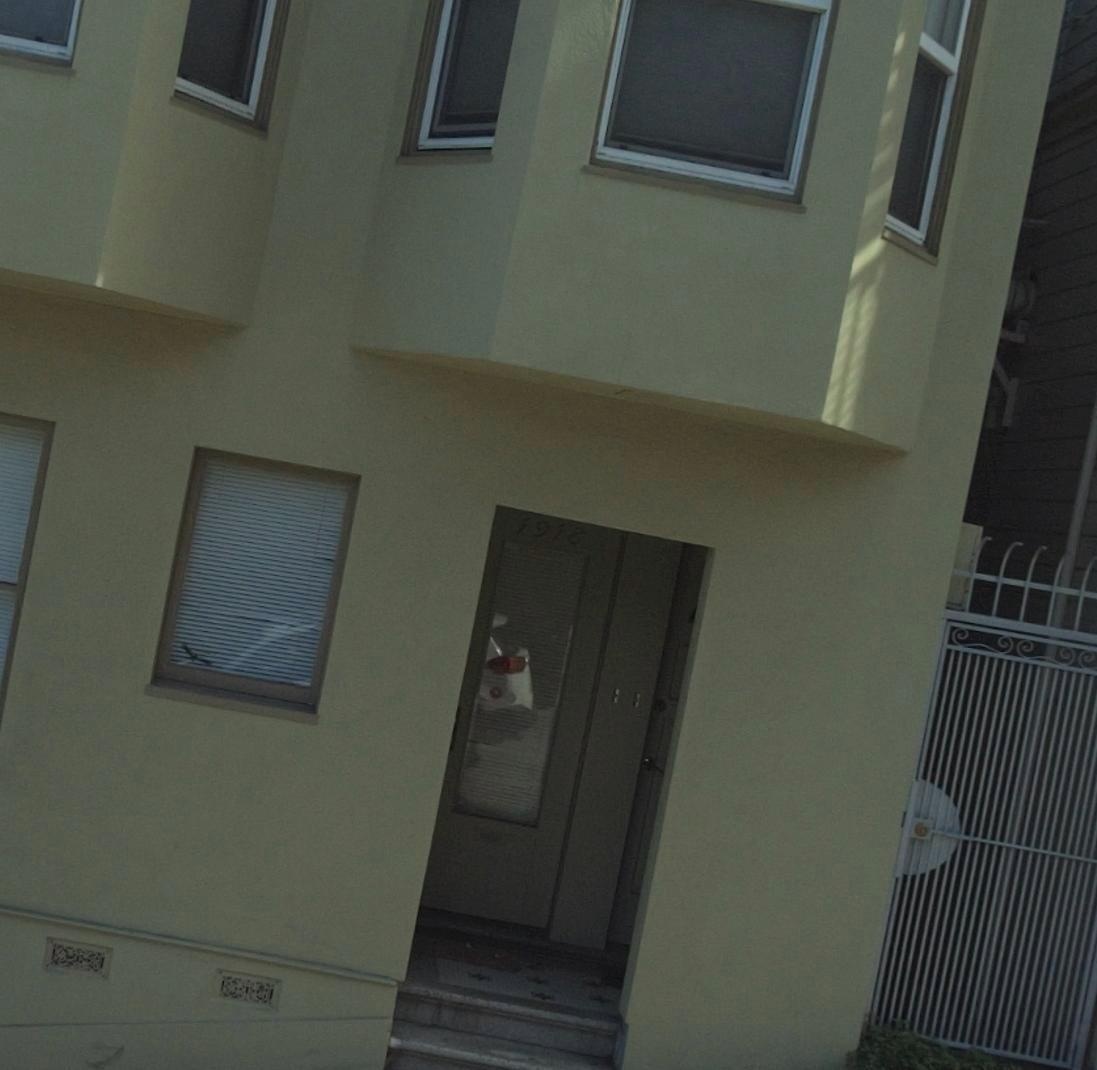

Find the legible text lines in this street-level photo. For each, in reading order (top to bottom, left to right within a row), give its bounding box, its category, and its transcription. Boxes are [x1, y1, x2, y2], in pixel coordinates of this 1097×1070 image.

[510, 512, 591, 547] StreetNumber: 1918